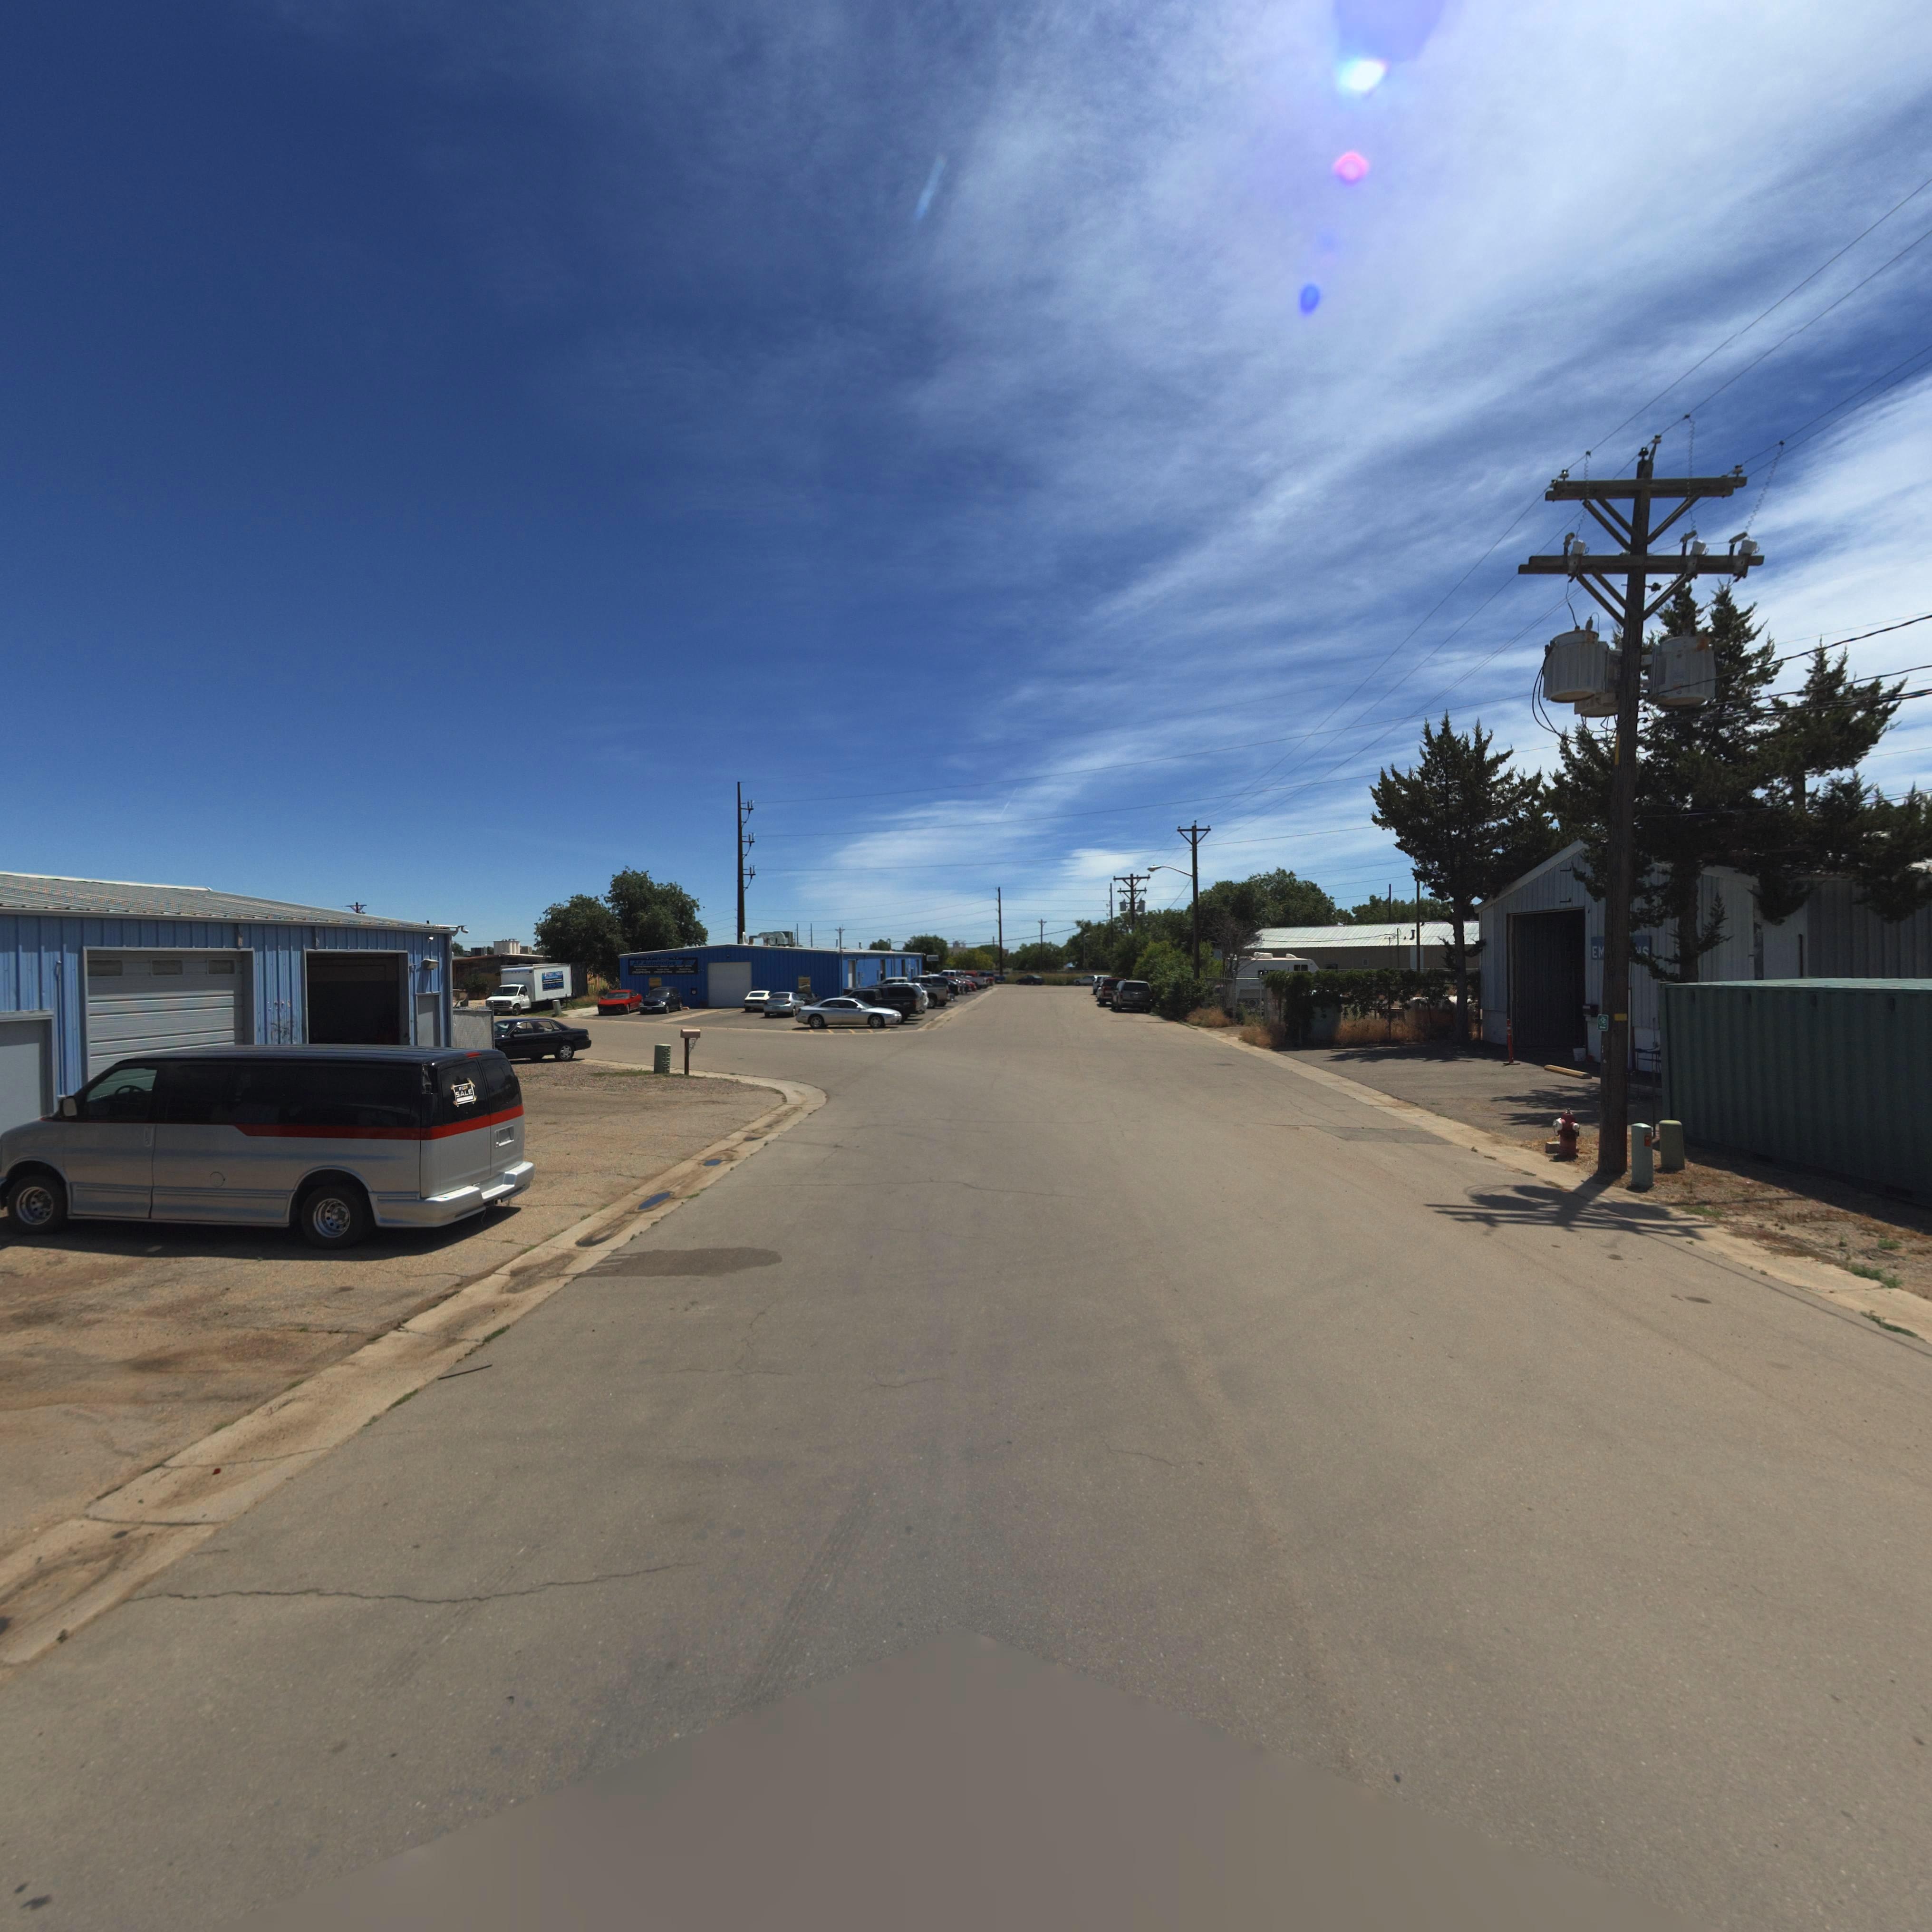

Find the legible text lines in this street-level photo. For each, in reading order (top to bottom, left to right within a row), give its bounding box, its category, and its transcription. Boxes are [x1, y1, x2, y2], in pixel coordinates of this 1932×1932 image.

[1591, 945, 1604, 958] BusinessName: EM
[632, 960, 676, 965] BusinessName: AP Automotive